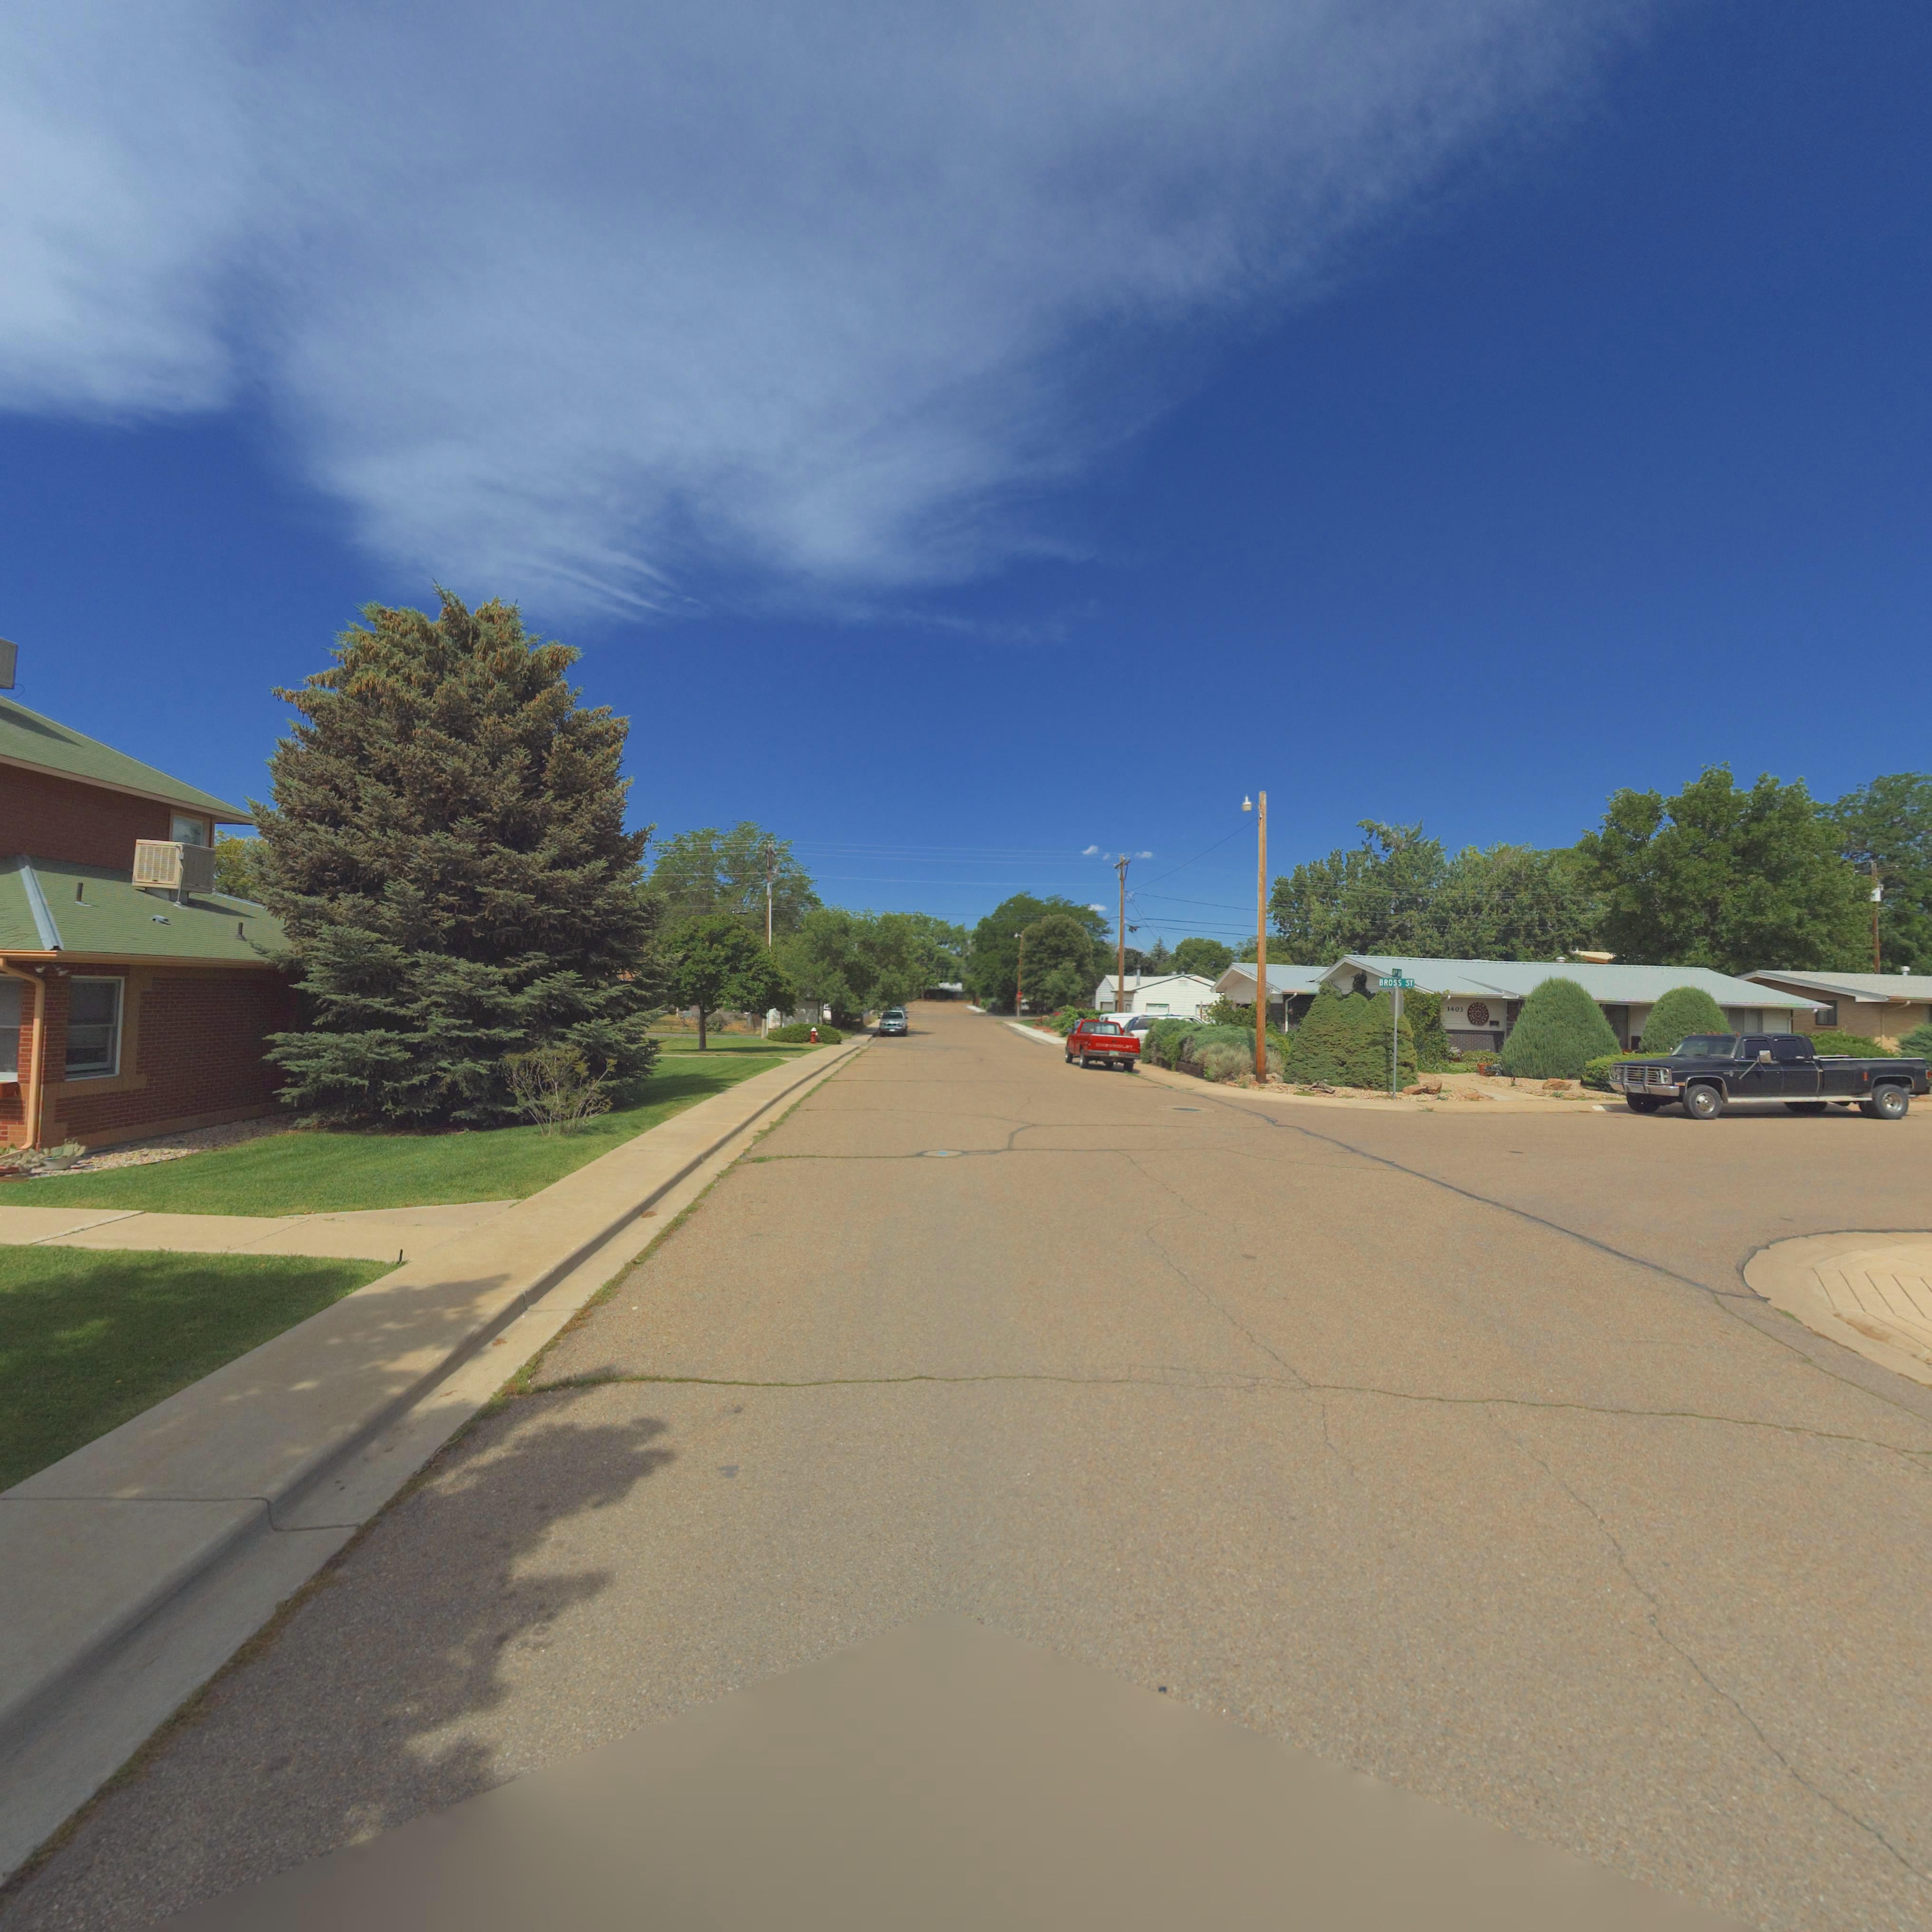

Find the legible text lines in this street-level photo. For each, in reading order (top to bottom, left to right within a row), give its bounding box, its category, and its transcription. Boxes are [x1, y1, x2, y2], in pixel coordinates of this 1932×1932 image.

[1391, 969, 1401, 977] StreetName: *4** A*
[1379, 978, 1414, 986] StreetName: BROSS ST
[1447, 1006, 1463, 1012] StreetNumber: 1403